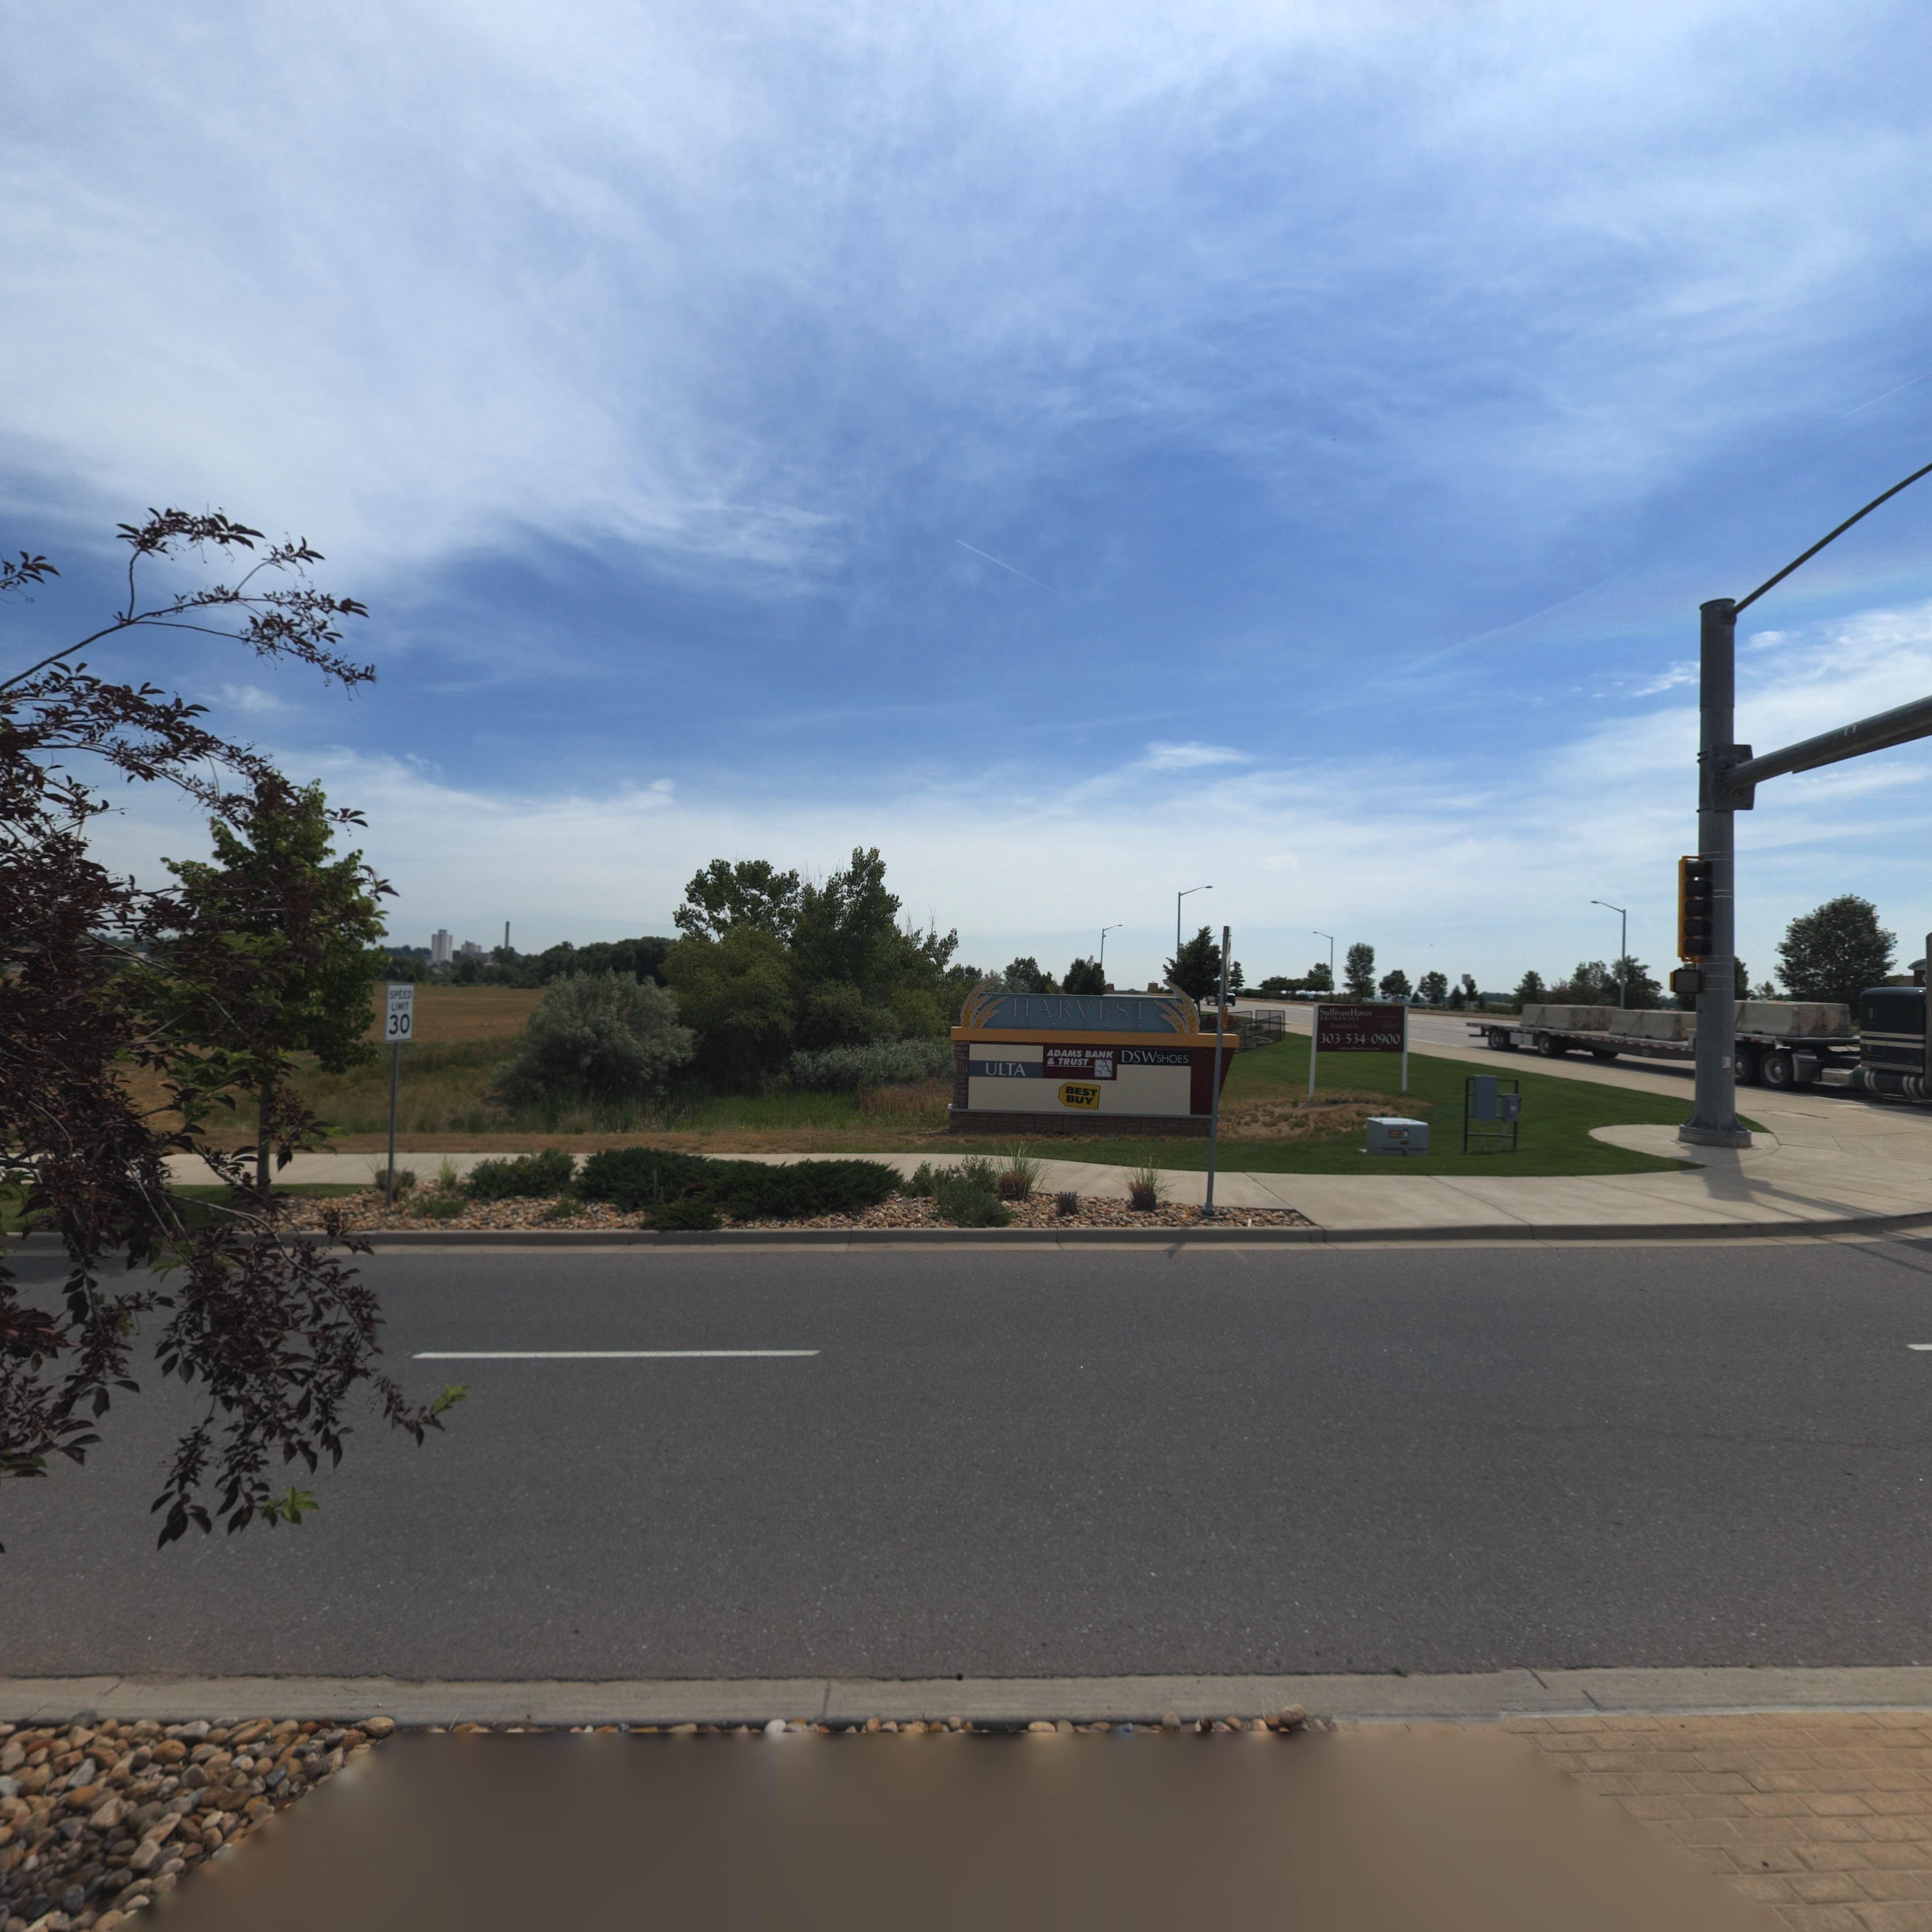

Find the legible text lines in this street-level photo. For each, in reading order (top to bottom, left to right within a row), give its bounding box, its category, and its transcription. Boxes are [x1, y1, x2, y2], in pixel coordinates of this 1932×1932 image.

[1046, 1057, 1089, 1066] BusinessName: & TRUST
[1046, 1049, 1113, 1058] BusinessName: ADAMS BANK
[1121, 1050, 1188, 1063] BusinessName: DSWSHOES
[985, 1062, 1026, 1077] BusinessName: ULTA
[1065, 1086, 1097, 1097] BusinessName: BEST
[1066, 1094, 1093, 1104] BusinessName: BUY